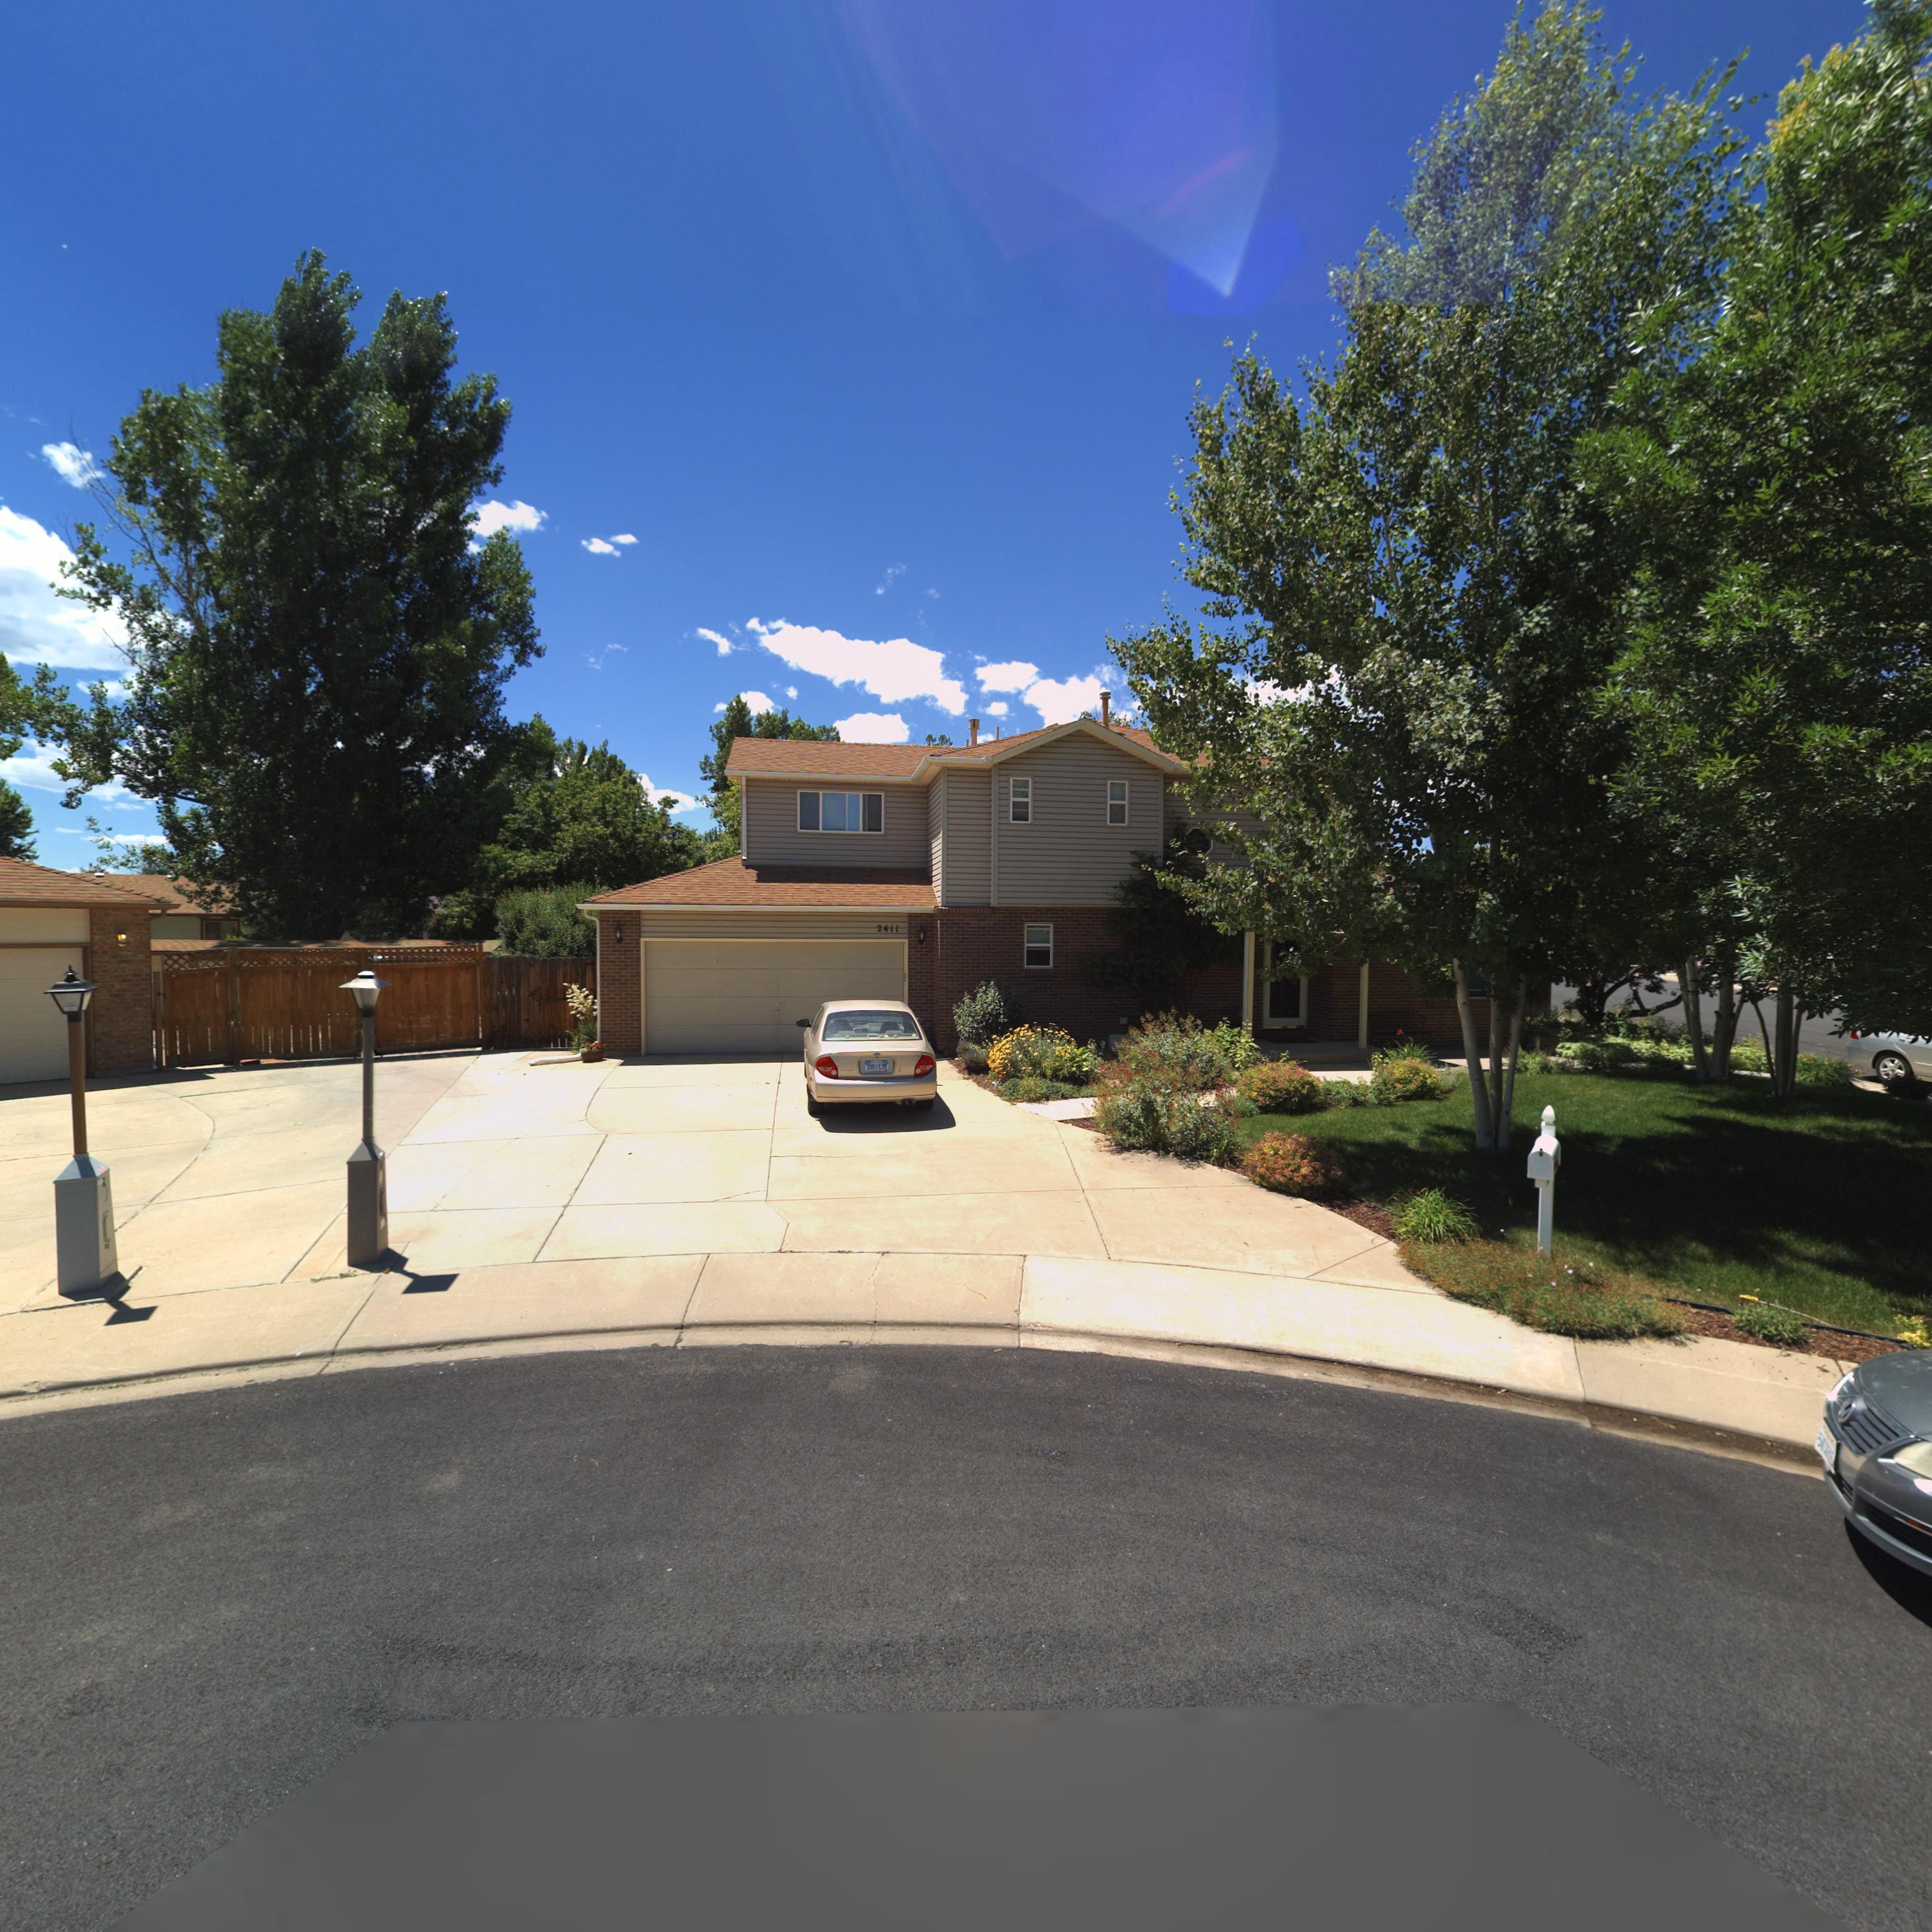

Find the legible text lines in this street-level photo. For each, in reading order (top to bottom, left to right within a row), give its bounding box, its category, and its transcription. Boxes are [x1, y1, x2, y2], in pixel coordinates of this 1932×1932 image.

[876, 924, 898, 933] StreetNumber: 2411